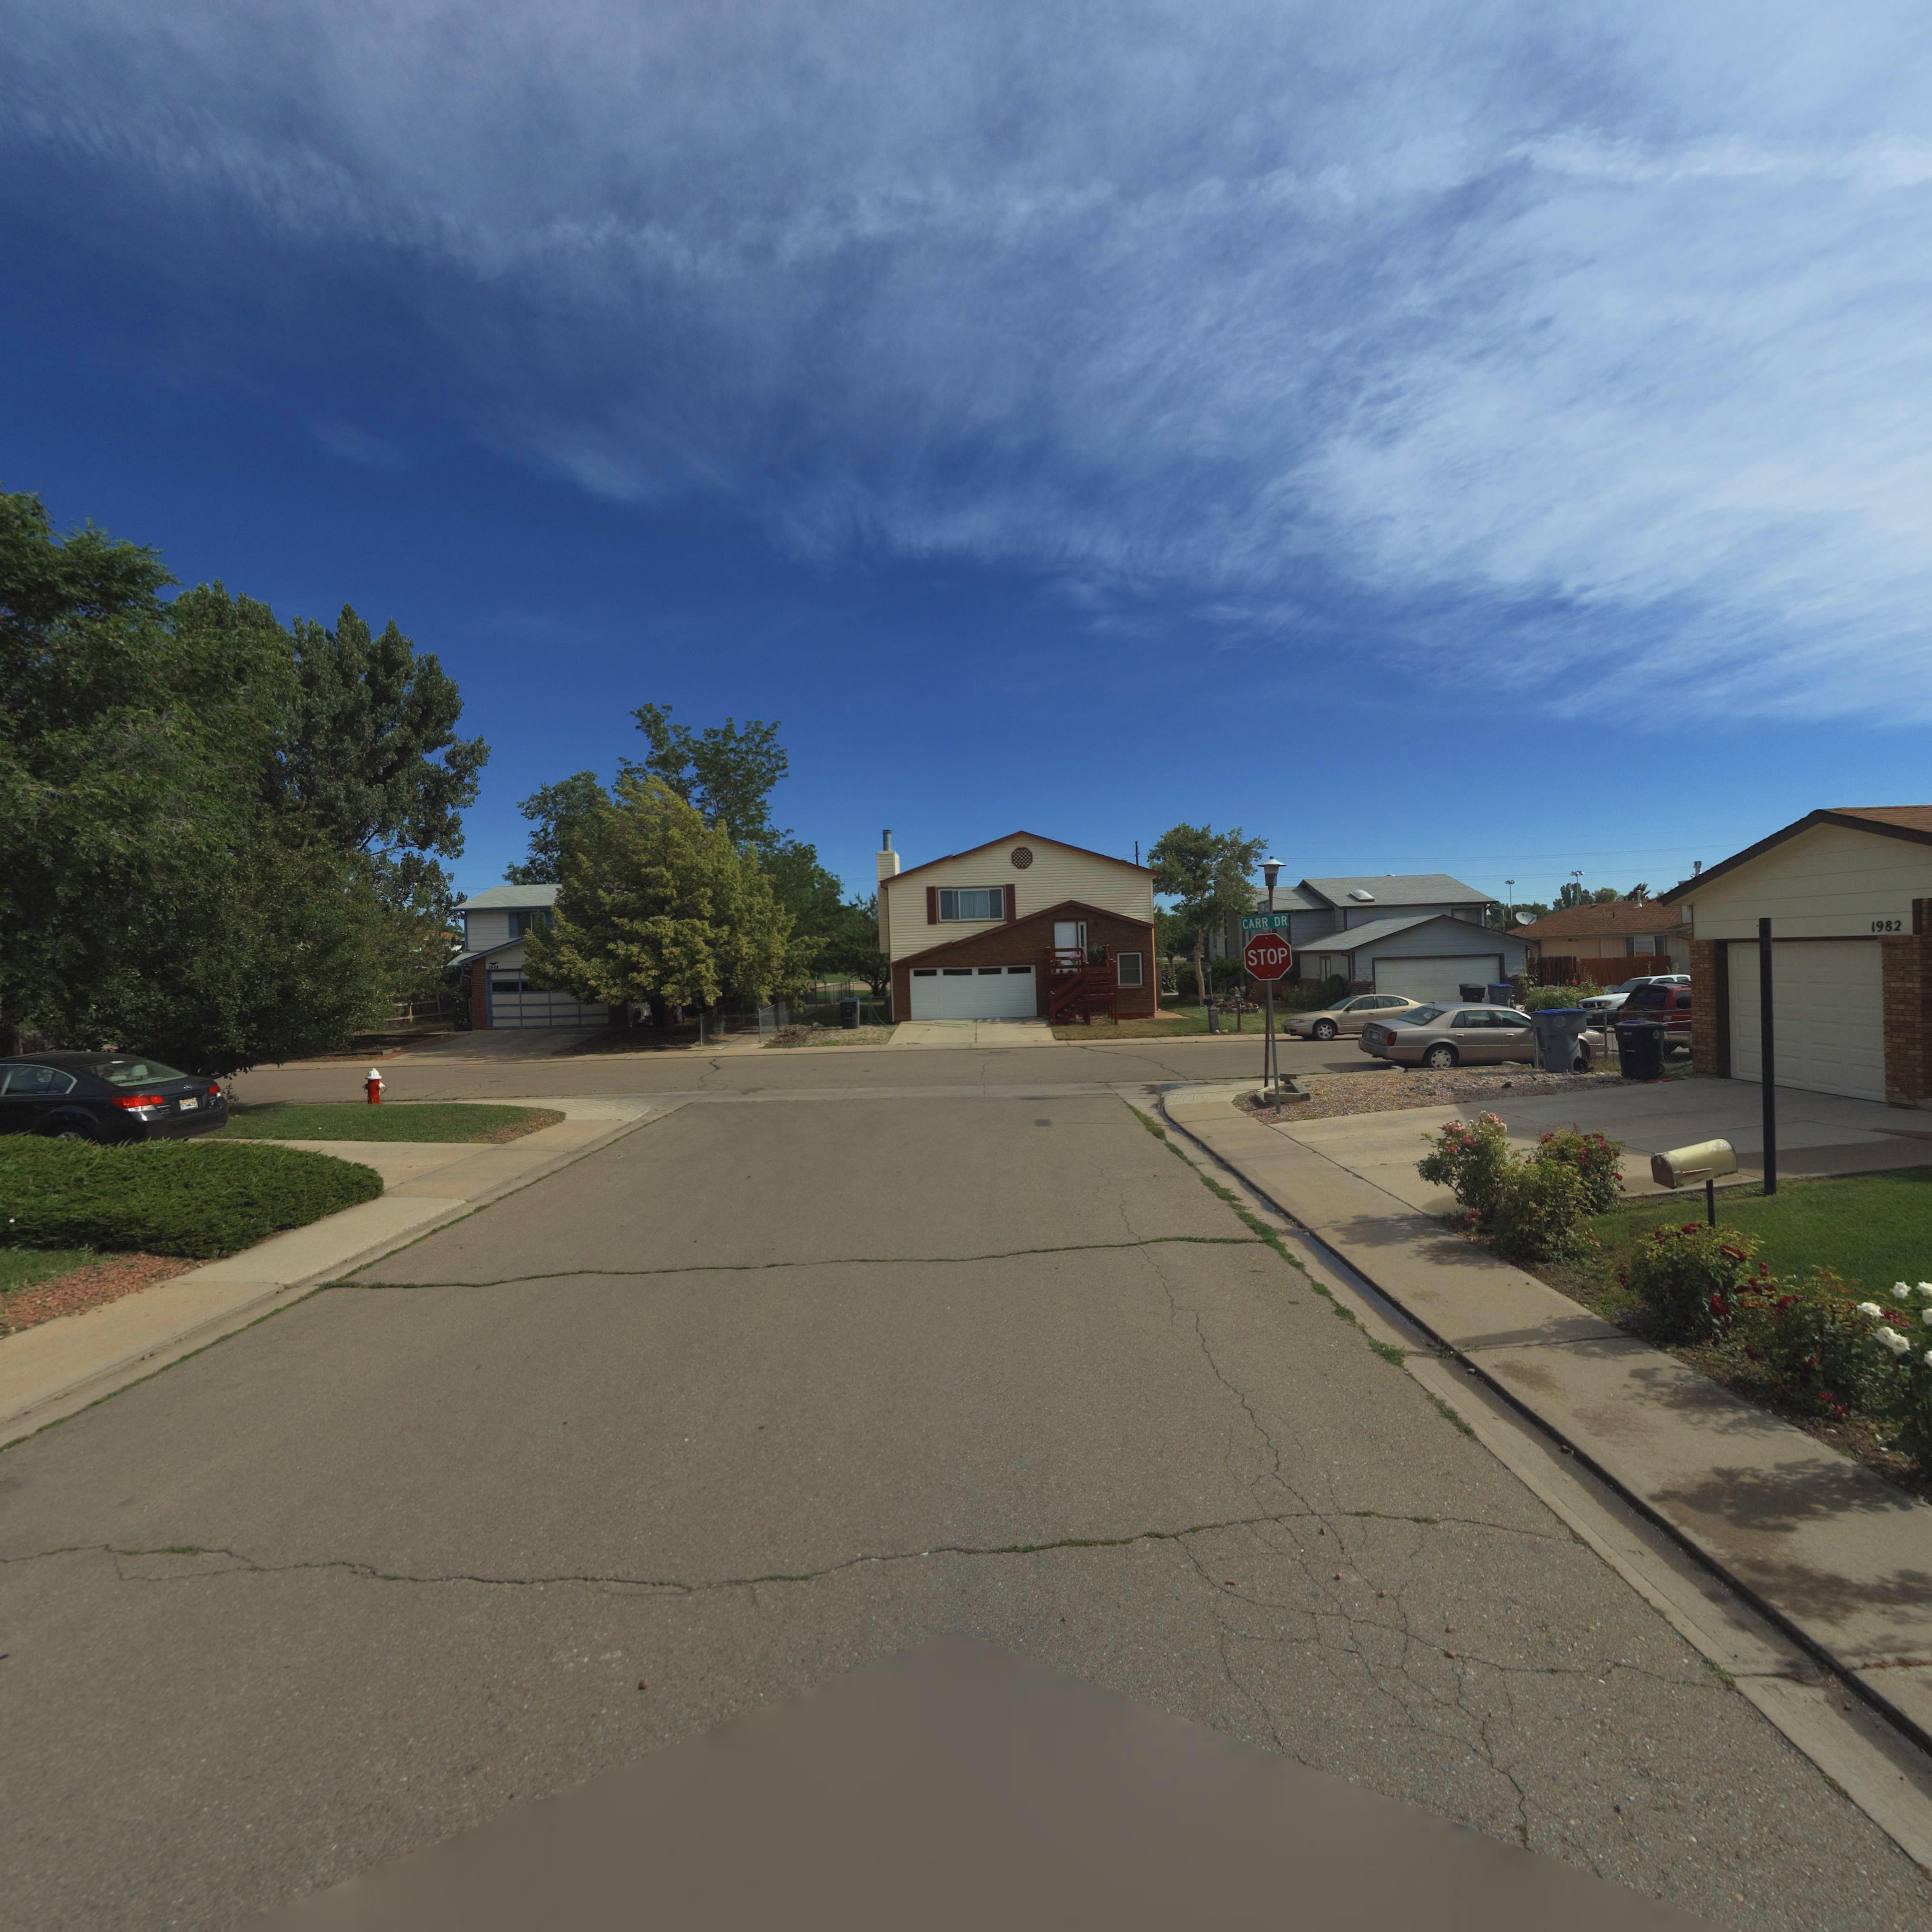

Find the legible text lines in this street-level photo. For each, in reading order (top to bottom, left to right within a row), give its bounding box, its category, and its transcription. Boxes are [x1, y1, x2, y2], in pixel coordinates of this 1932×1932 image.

[1256, 901, 1270, 915] StreetName: CARR CT
[1241, 915, 1287, 929] StreetName: CARR DR
[1871, 919, 1902, 932] StreetNumber: 1982
[488, 965, 498, 969] StreetNumber: 19**